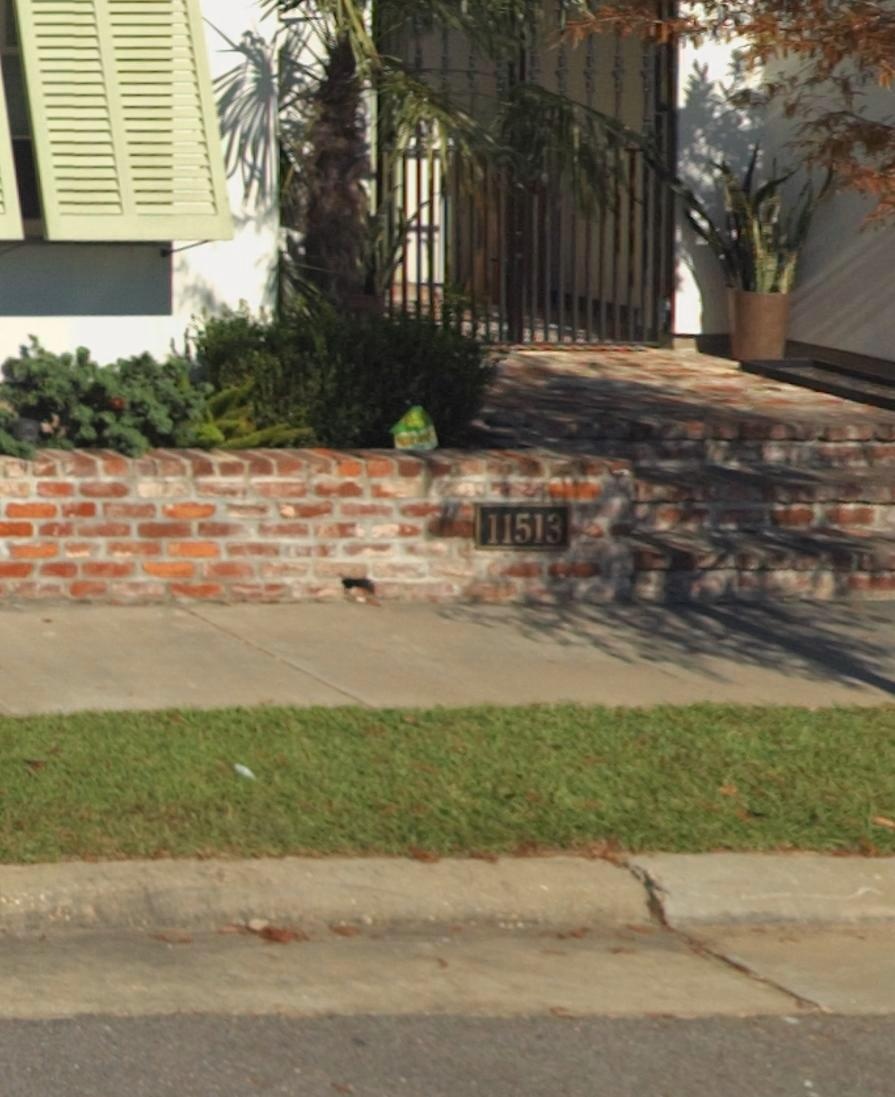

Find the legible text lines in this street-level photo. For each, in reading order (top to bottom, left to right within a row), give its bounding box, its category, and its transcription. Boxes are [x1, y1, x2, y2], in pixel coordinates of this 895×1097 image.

[485, 512, 565, 545] StreetNumber: 11513